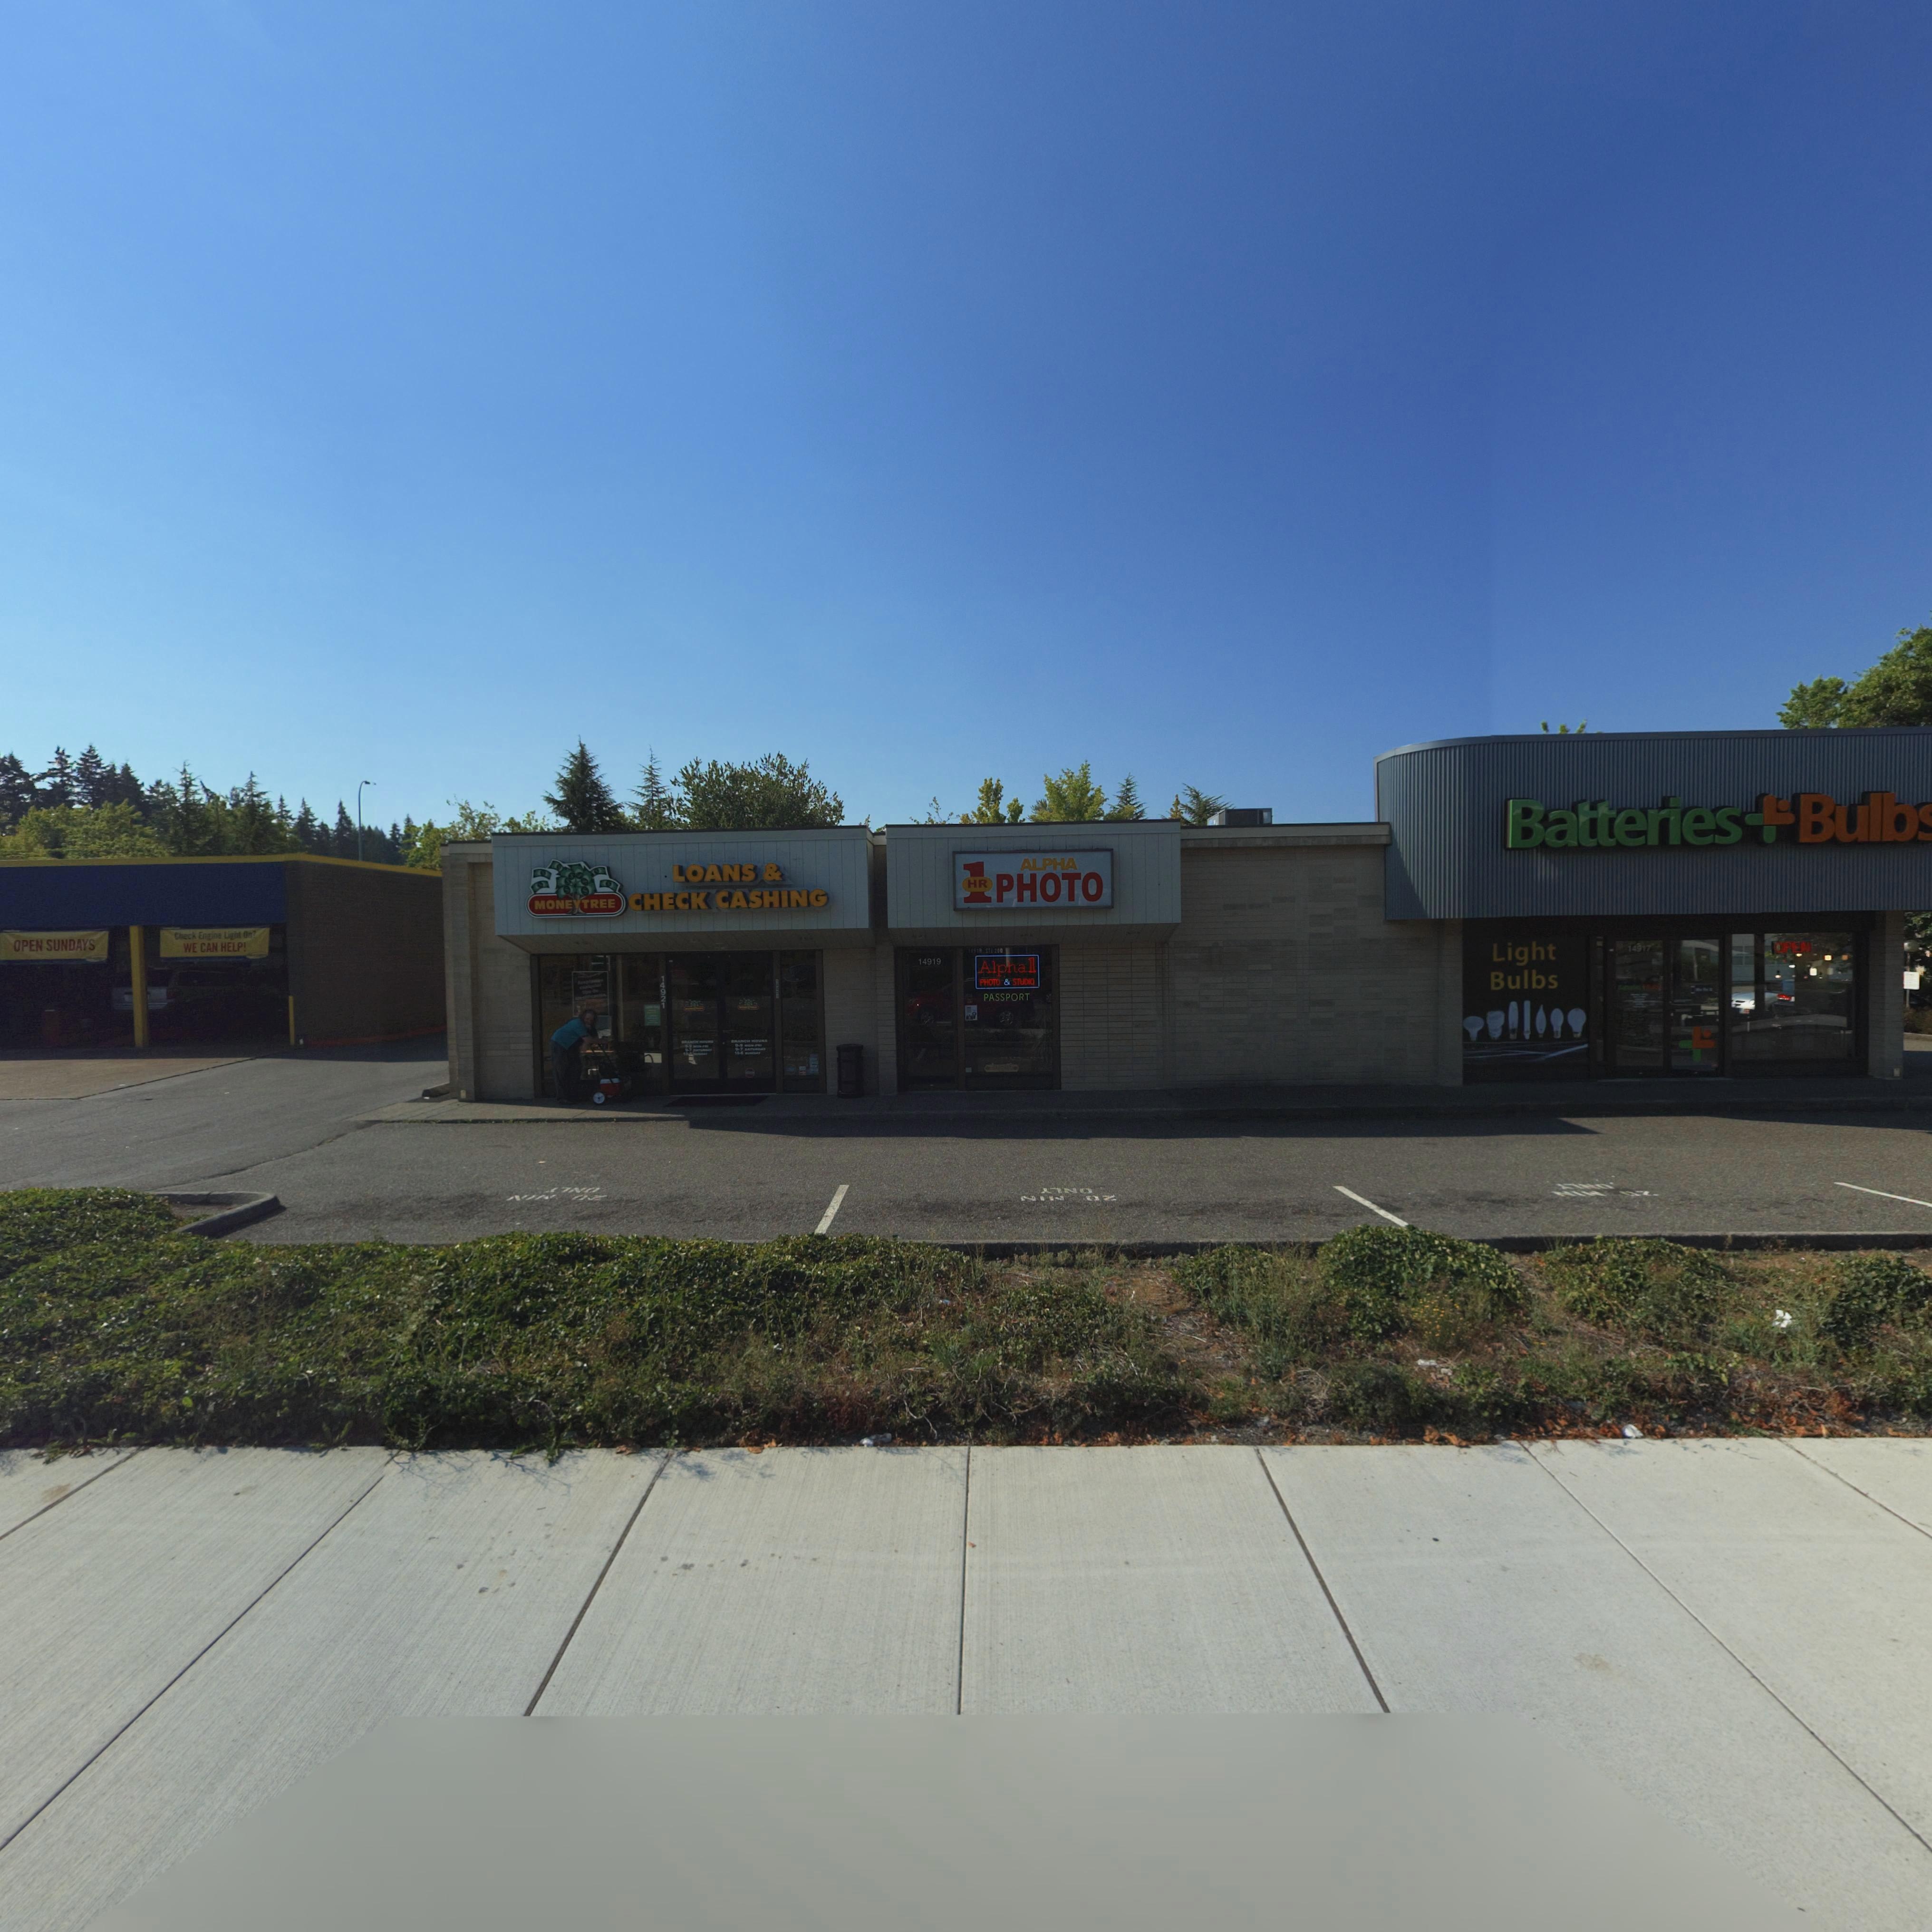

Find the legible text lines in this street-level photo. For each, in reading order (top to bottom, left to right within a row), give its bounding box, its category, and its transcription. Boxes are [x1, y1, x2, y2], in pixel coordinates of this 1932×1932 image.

[1506, 790, 1921, 850] BusinessName: Batteries*Bulb
[671, 862, 783, 883] BusinessName: LOANS &
[963, 860, 992, 904] BusinessName: 1
[967, 879, 988, 889] BusinessName: HR
[1018, 856, 1079, 872] BusinessName: ALPHA
[995, 871, 1104, 904] BusinessName: PHOTO
[533, 898, 616, 910] BusinessName: MONEYTREE
[628, 888, 829, 912] BusinessName: CHECK CASHING
[1627, 943, 1652, 954] StreetNumber: 14917
[917, 957, 942, 966] StreetNumber: 14919
[976, 956, 1036, 978] BusinessName: Alpha 1
[659, 975, 667, 1010] StreetNumber: 14921
[979, 977, 1035, 986] BusinessName: PHOTO & STUDIO
[1491, 969, 1557, 990] BusinessName: Bulbs